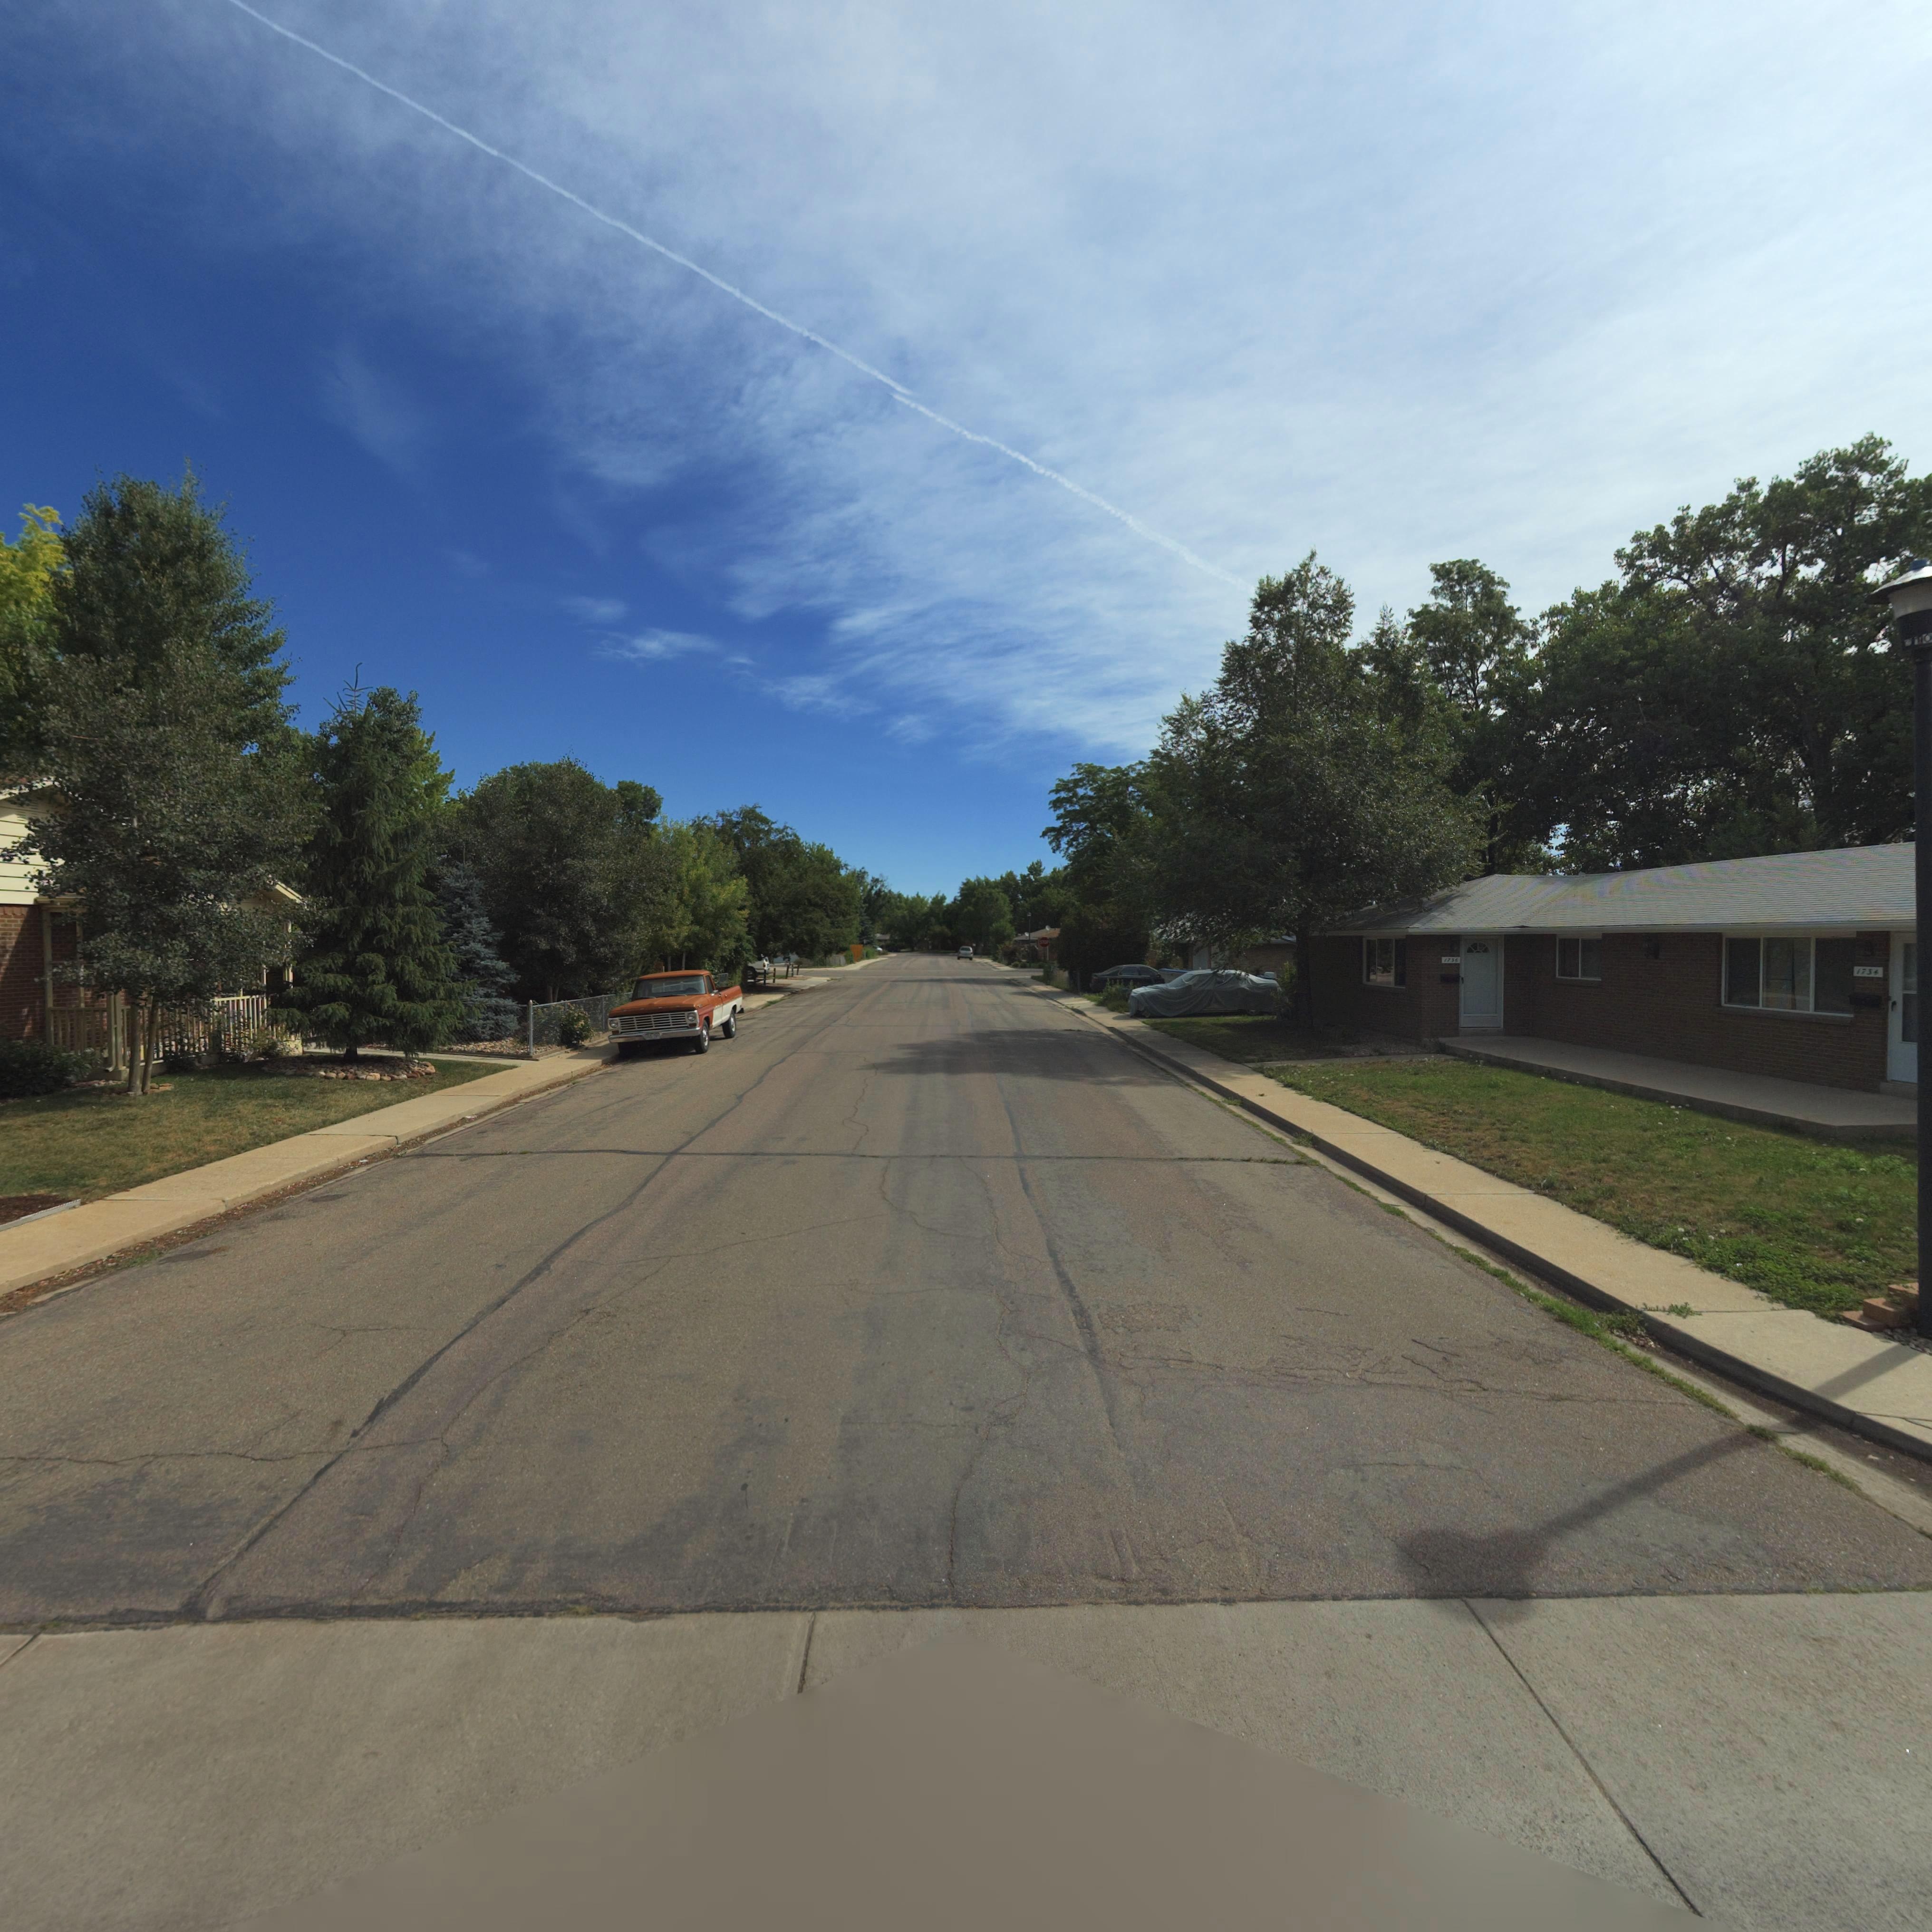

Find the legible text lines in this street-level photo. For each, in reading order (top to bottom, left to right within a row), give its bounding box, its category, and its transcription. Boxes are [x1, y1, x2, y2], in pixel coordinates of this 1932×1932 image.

[1443, 957, 1458, 962] StreetNumber: 1736
[1856, 967, 1879, 976] StreetNumber: 1734